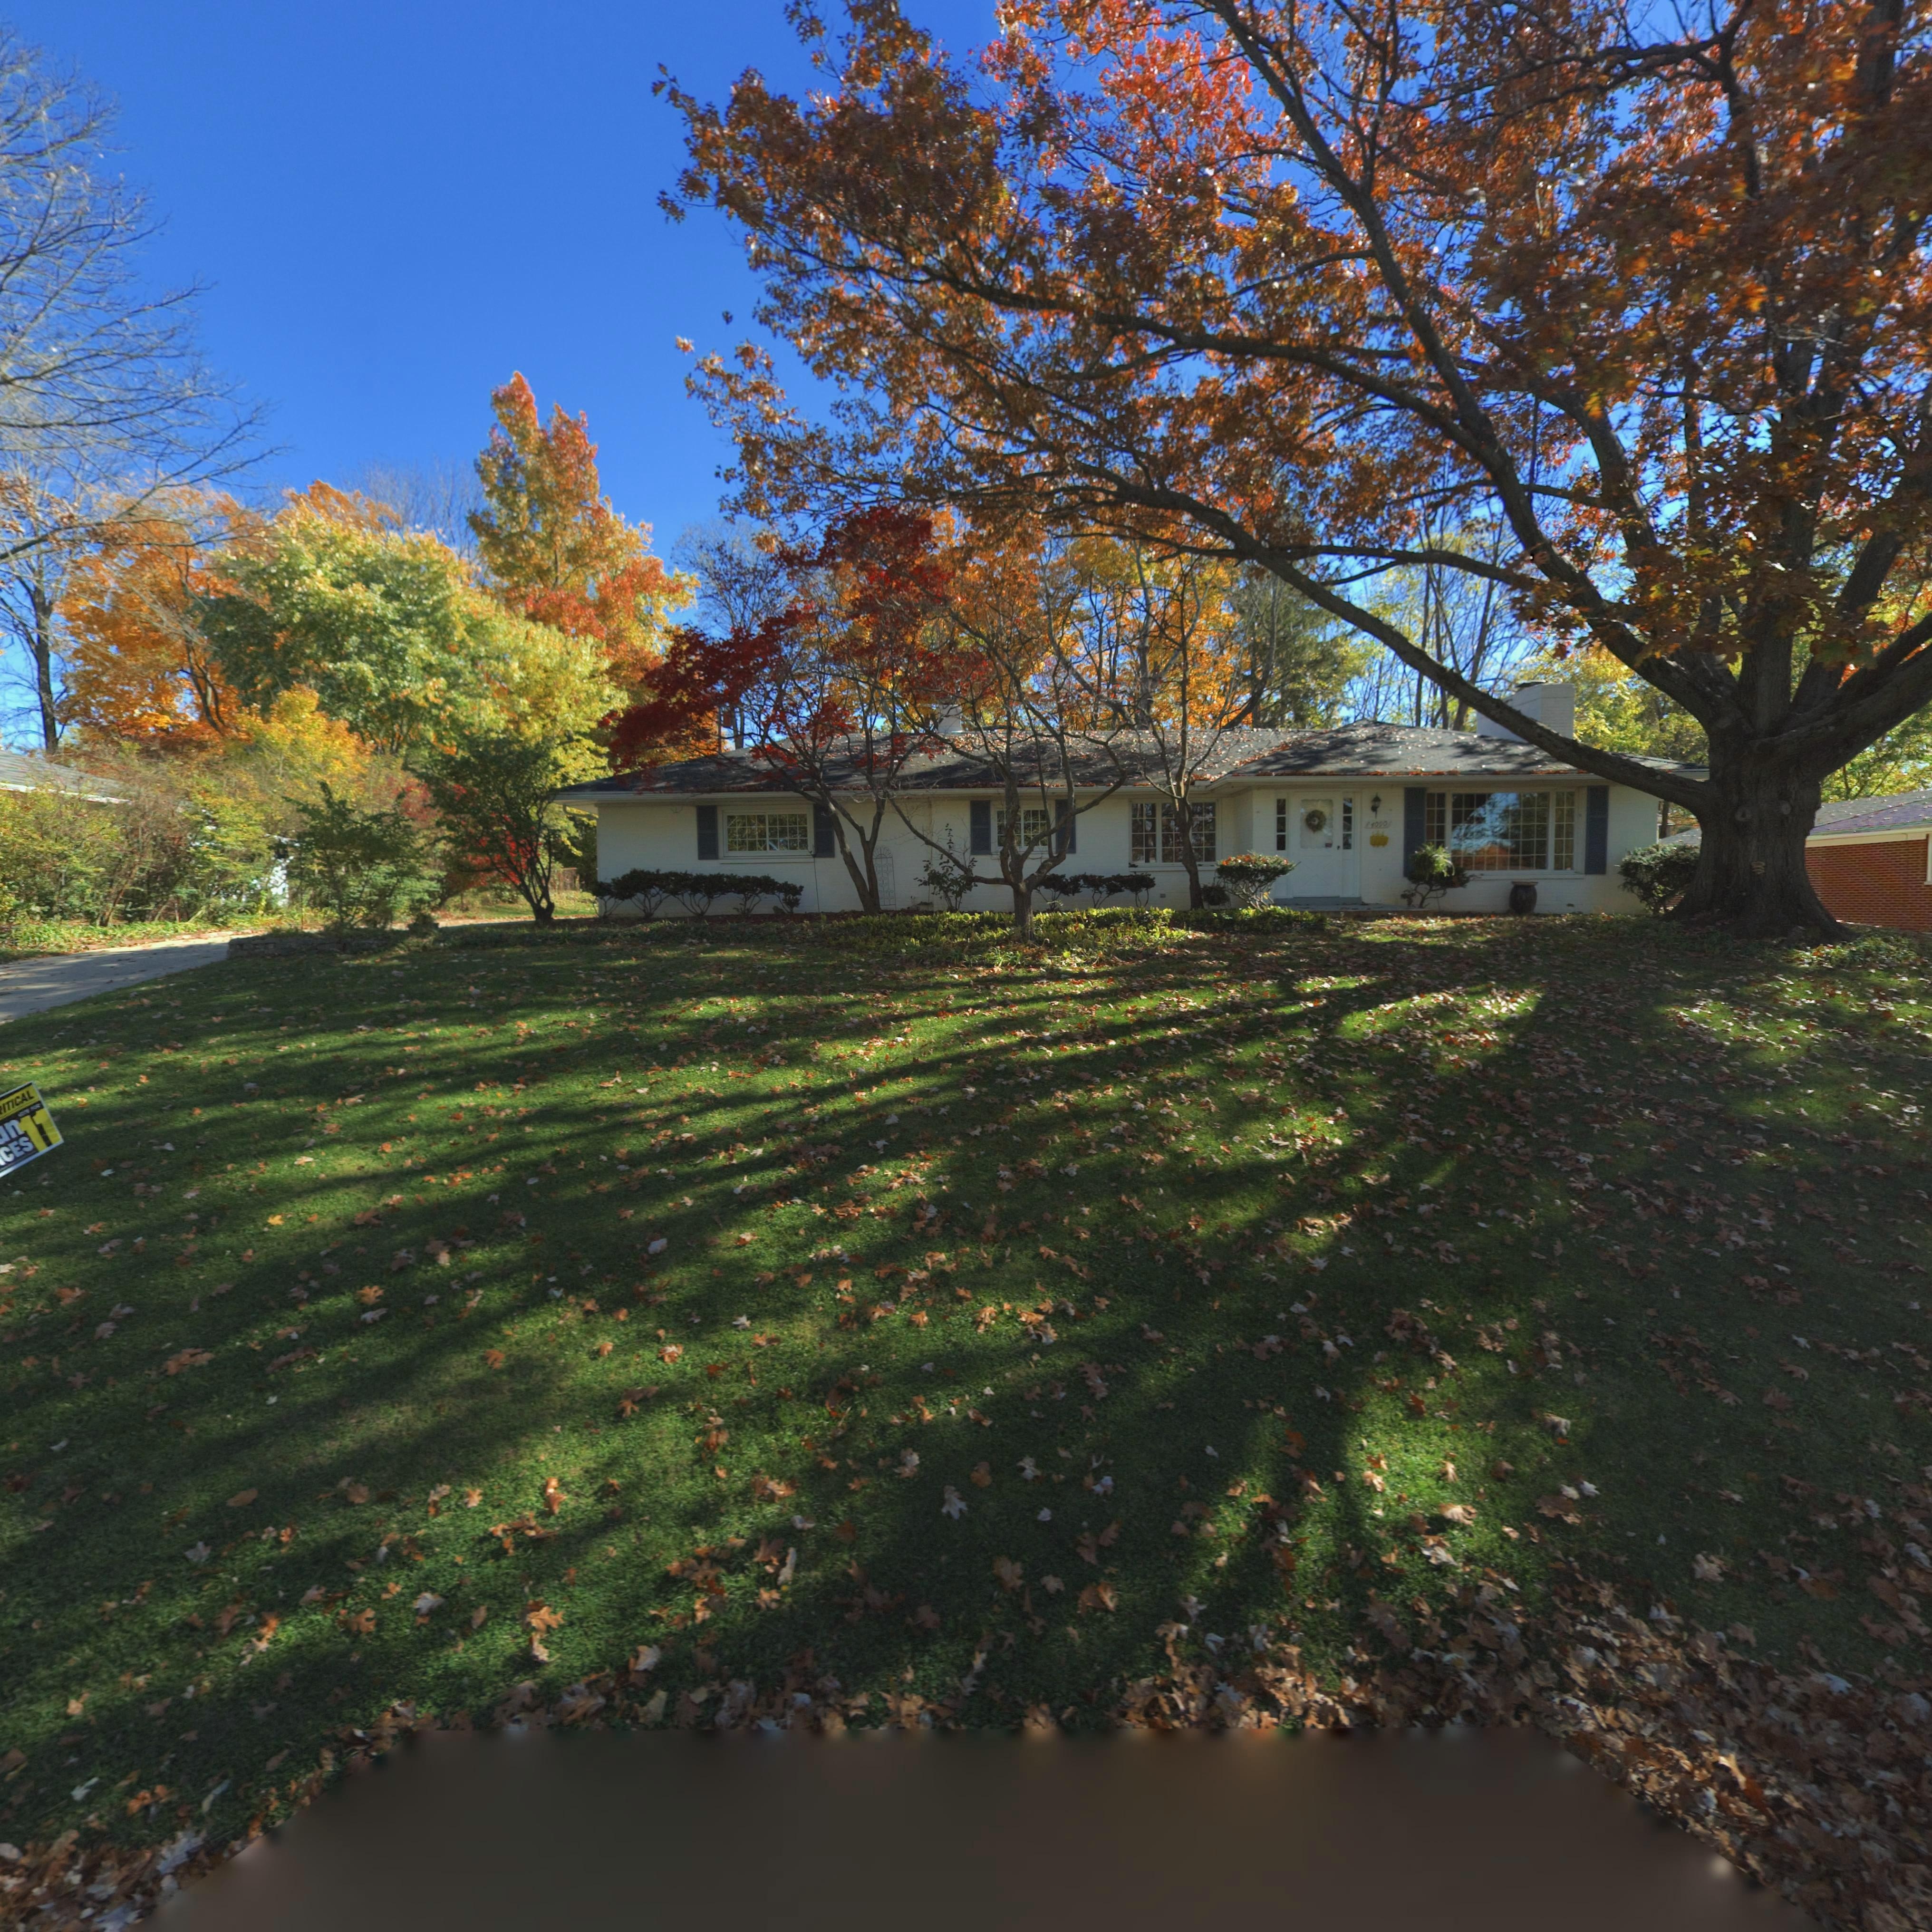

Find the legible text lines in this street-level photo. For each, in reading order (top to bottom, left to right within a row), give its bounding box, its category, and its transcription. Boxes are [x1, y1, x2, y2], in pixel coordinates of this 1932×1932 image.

[1370, 820, 1388, 829] StreetNumber: 4090